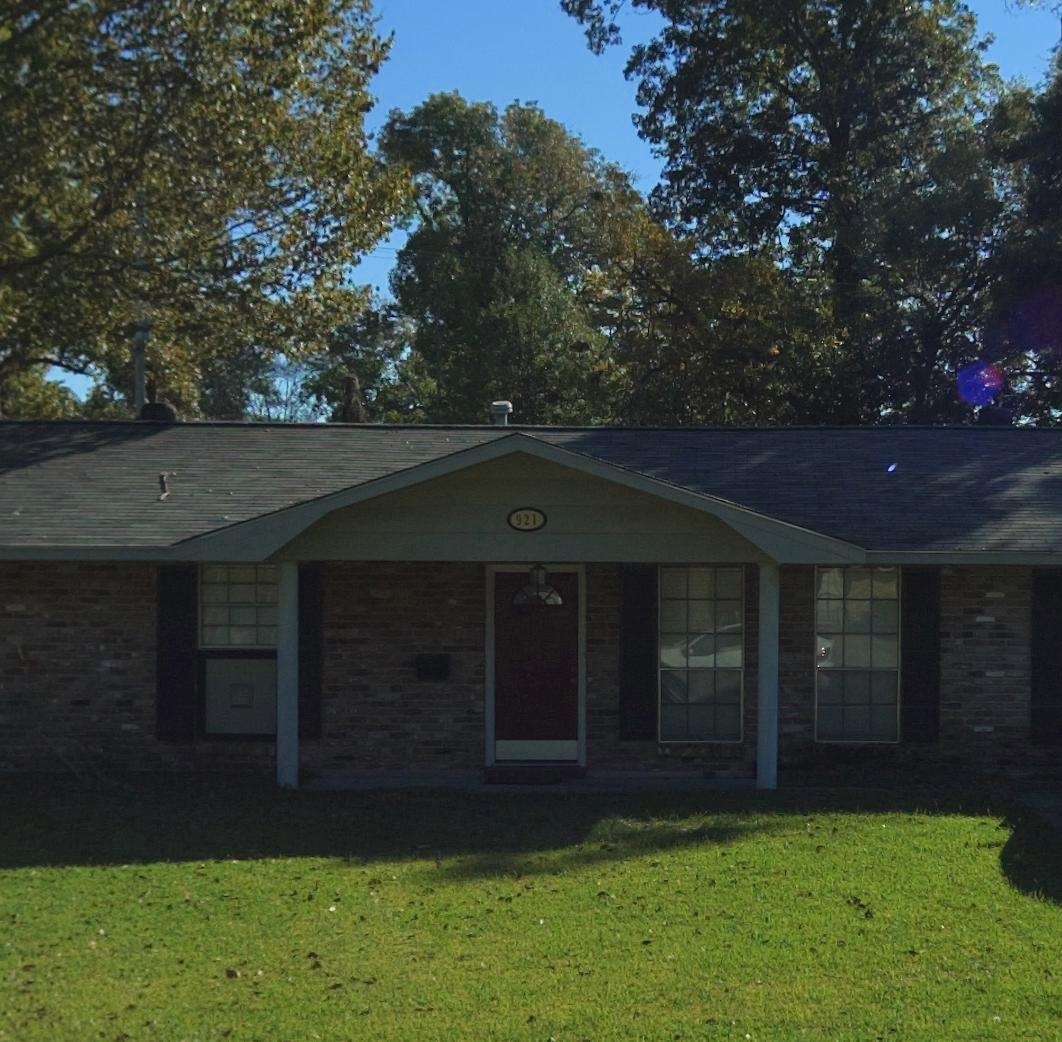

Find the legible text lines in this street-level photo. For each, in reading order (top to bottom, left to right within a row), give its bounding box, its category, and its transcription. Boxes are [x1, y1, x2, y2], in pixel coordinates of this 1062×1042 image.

[514, 511, 539, 528] StreetNumber: 921